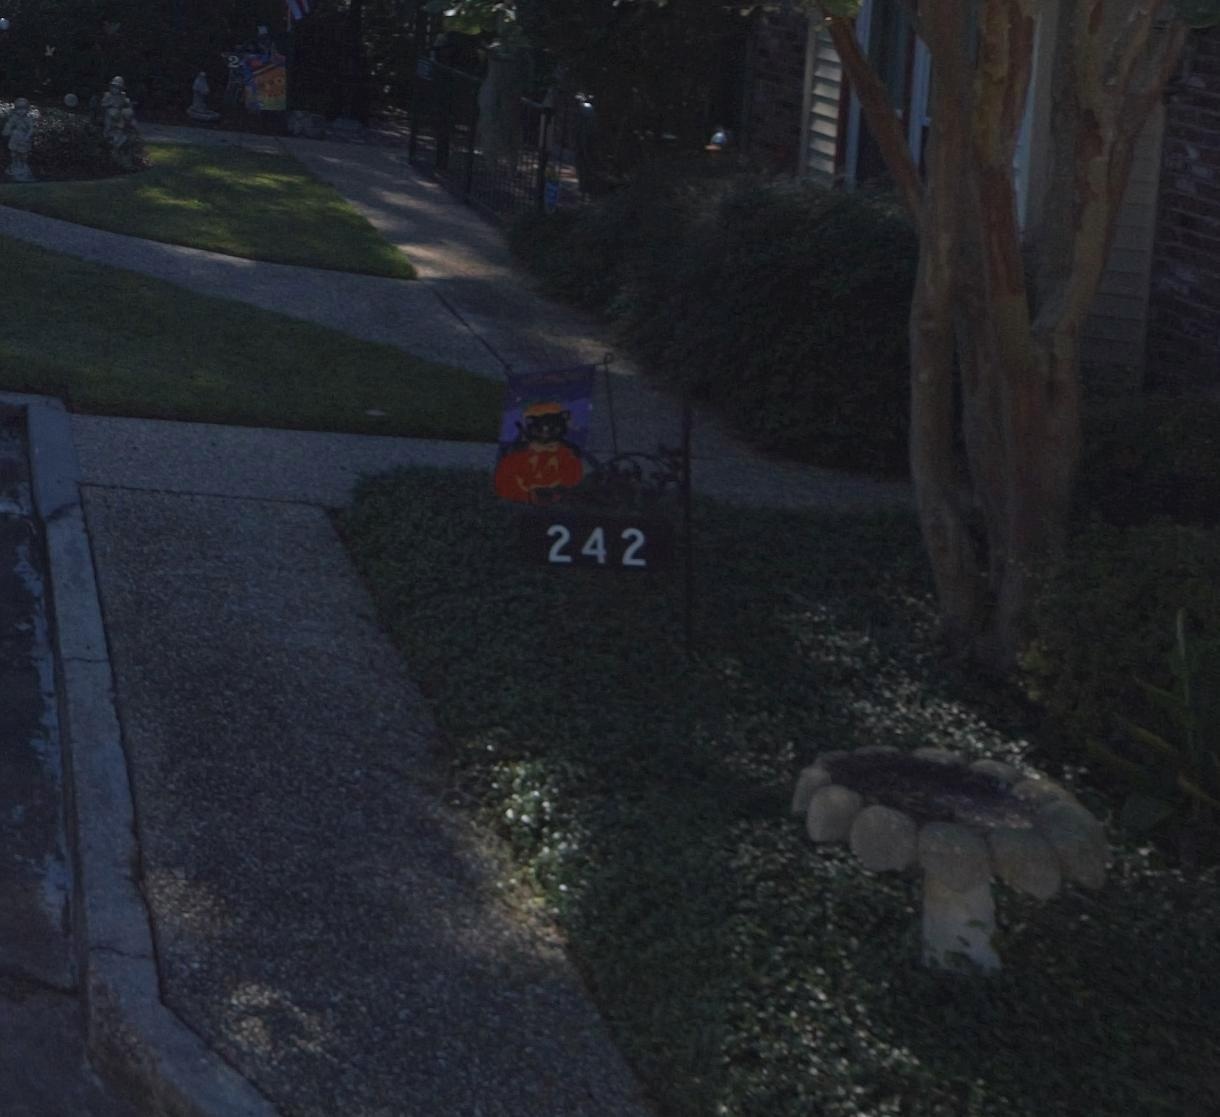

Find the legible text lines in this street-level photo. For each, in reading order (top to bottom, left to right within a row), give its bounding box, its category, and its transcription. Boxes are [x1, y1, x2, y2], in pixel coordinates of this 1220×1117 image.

[542, 520, 651, 570] StreetNumber: 242